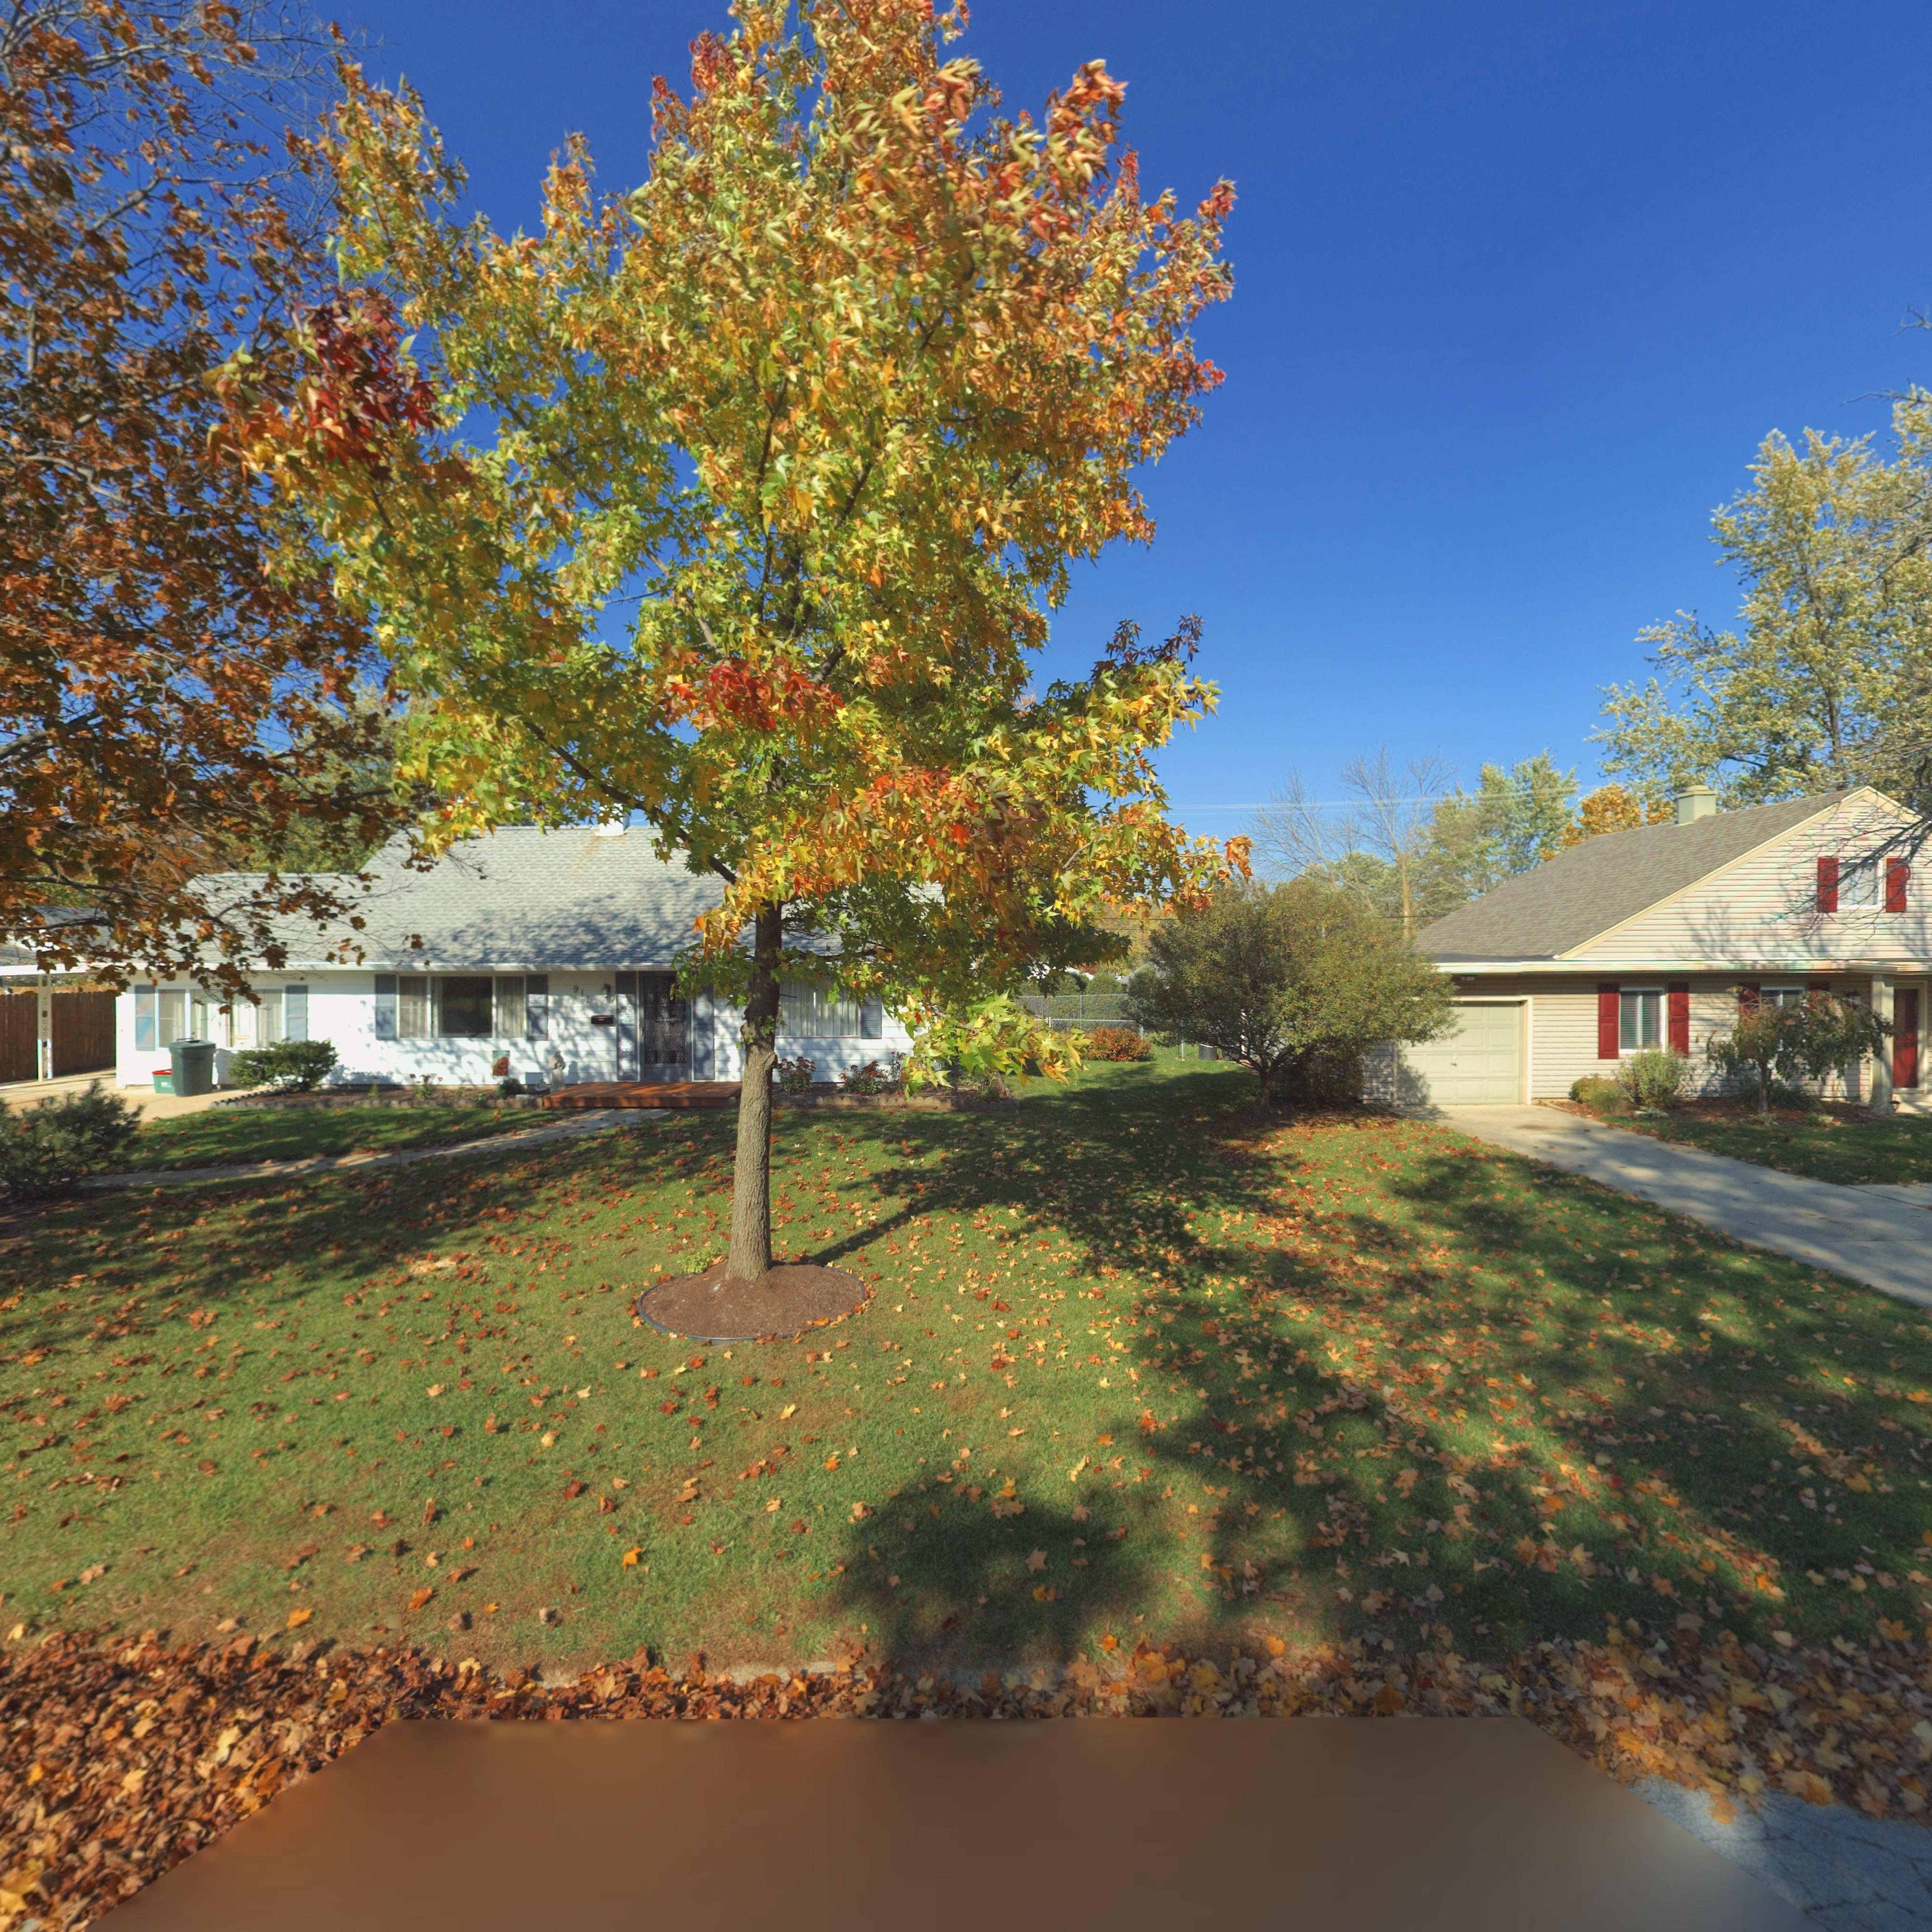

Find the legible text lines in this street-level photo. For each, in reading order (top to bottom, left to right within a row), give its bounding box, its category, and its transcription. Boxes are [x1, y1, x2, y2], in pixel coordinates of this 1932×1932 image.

[572, 984, 590, 1004] StreetNumber: 911